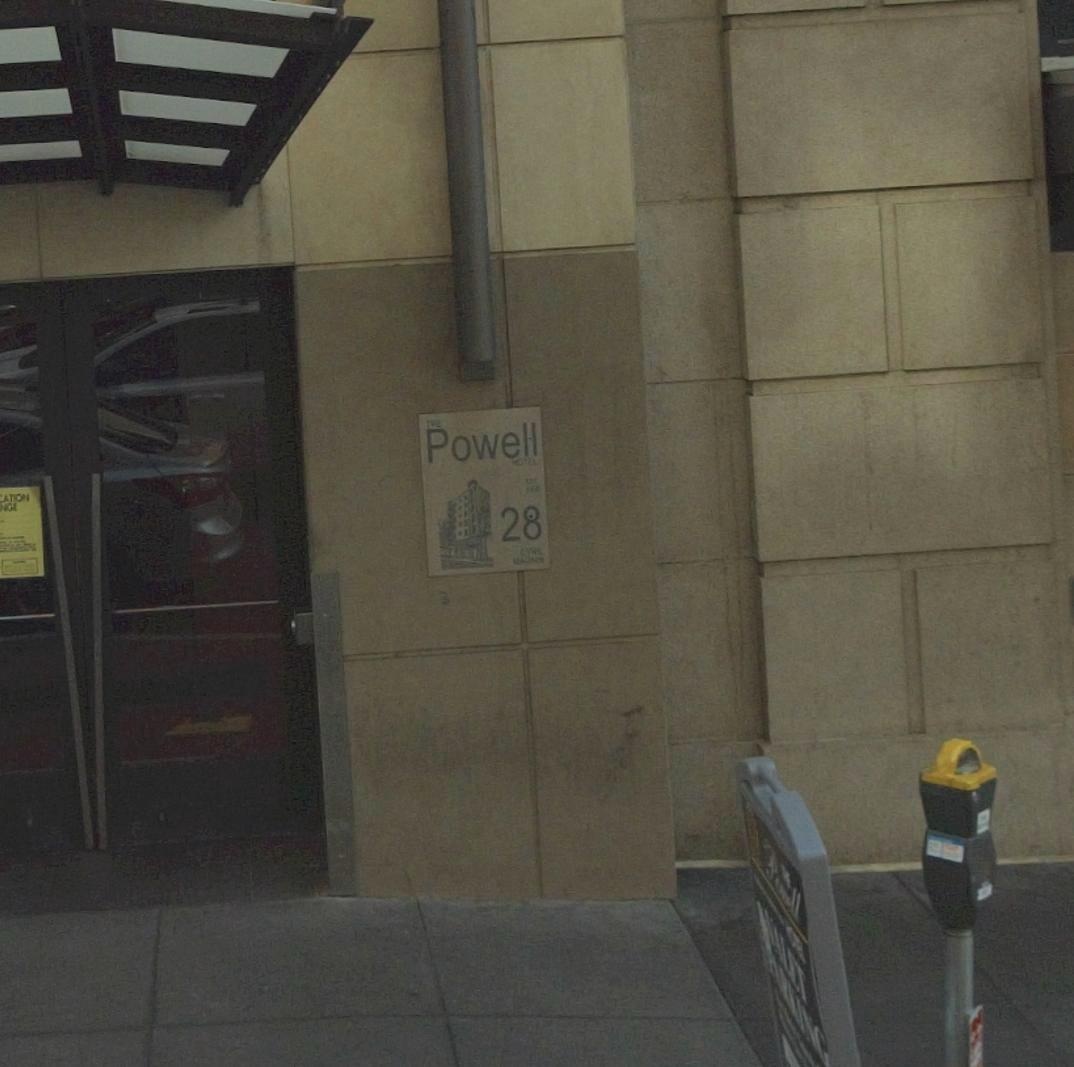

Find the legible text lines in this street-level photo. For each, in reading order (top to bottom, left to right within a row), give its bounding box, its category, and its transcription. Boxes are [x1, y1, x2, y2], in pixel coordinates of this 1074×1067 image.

[427, 418, 438, 429] None: T
[420, 418, 542, 468] StreetName: Powell
[0, 489, 33, 505] None: ATION
[497, 502, 545, 546] StreetNumber: 28
[519, 545, 545, 558] None: CYRL
[787, 883, 806, 930] None: ll